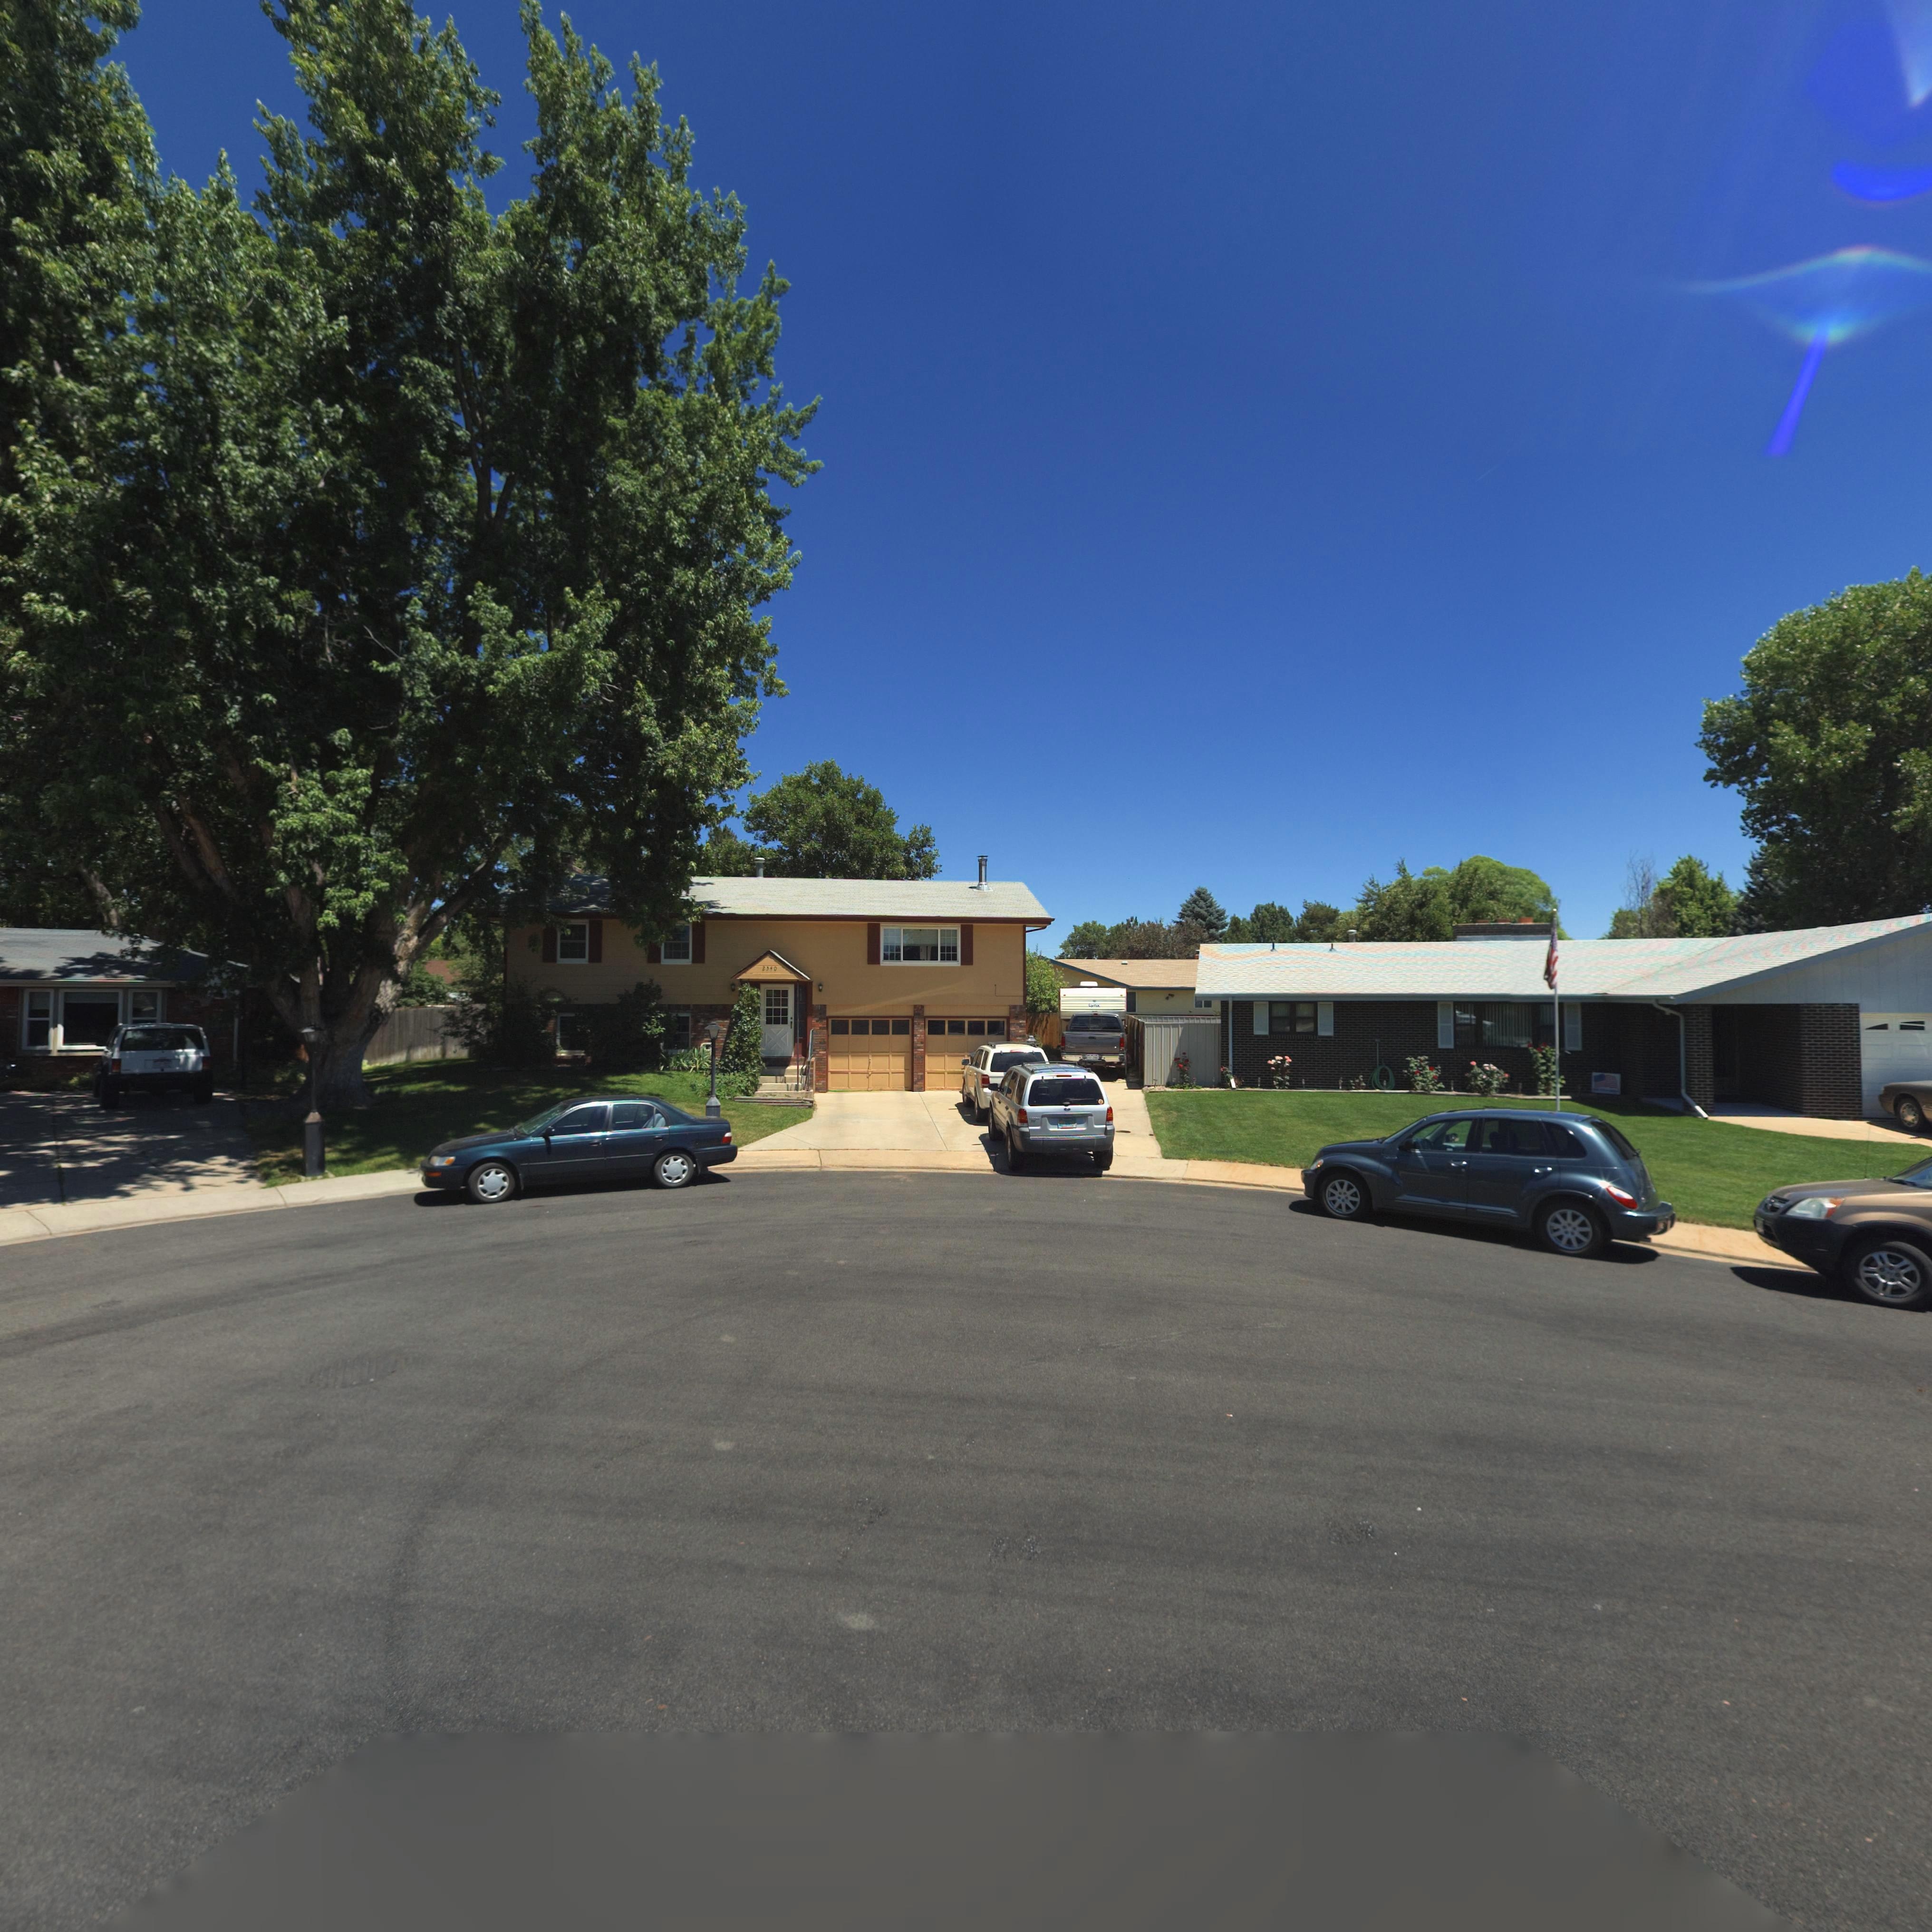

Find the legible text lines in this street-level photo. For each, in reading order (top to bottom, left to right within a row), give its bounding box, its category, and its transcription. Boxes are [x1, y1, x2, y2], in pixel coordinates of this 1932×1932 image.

[762, 966, 777, 971] StreetNumber: 2340